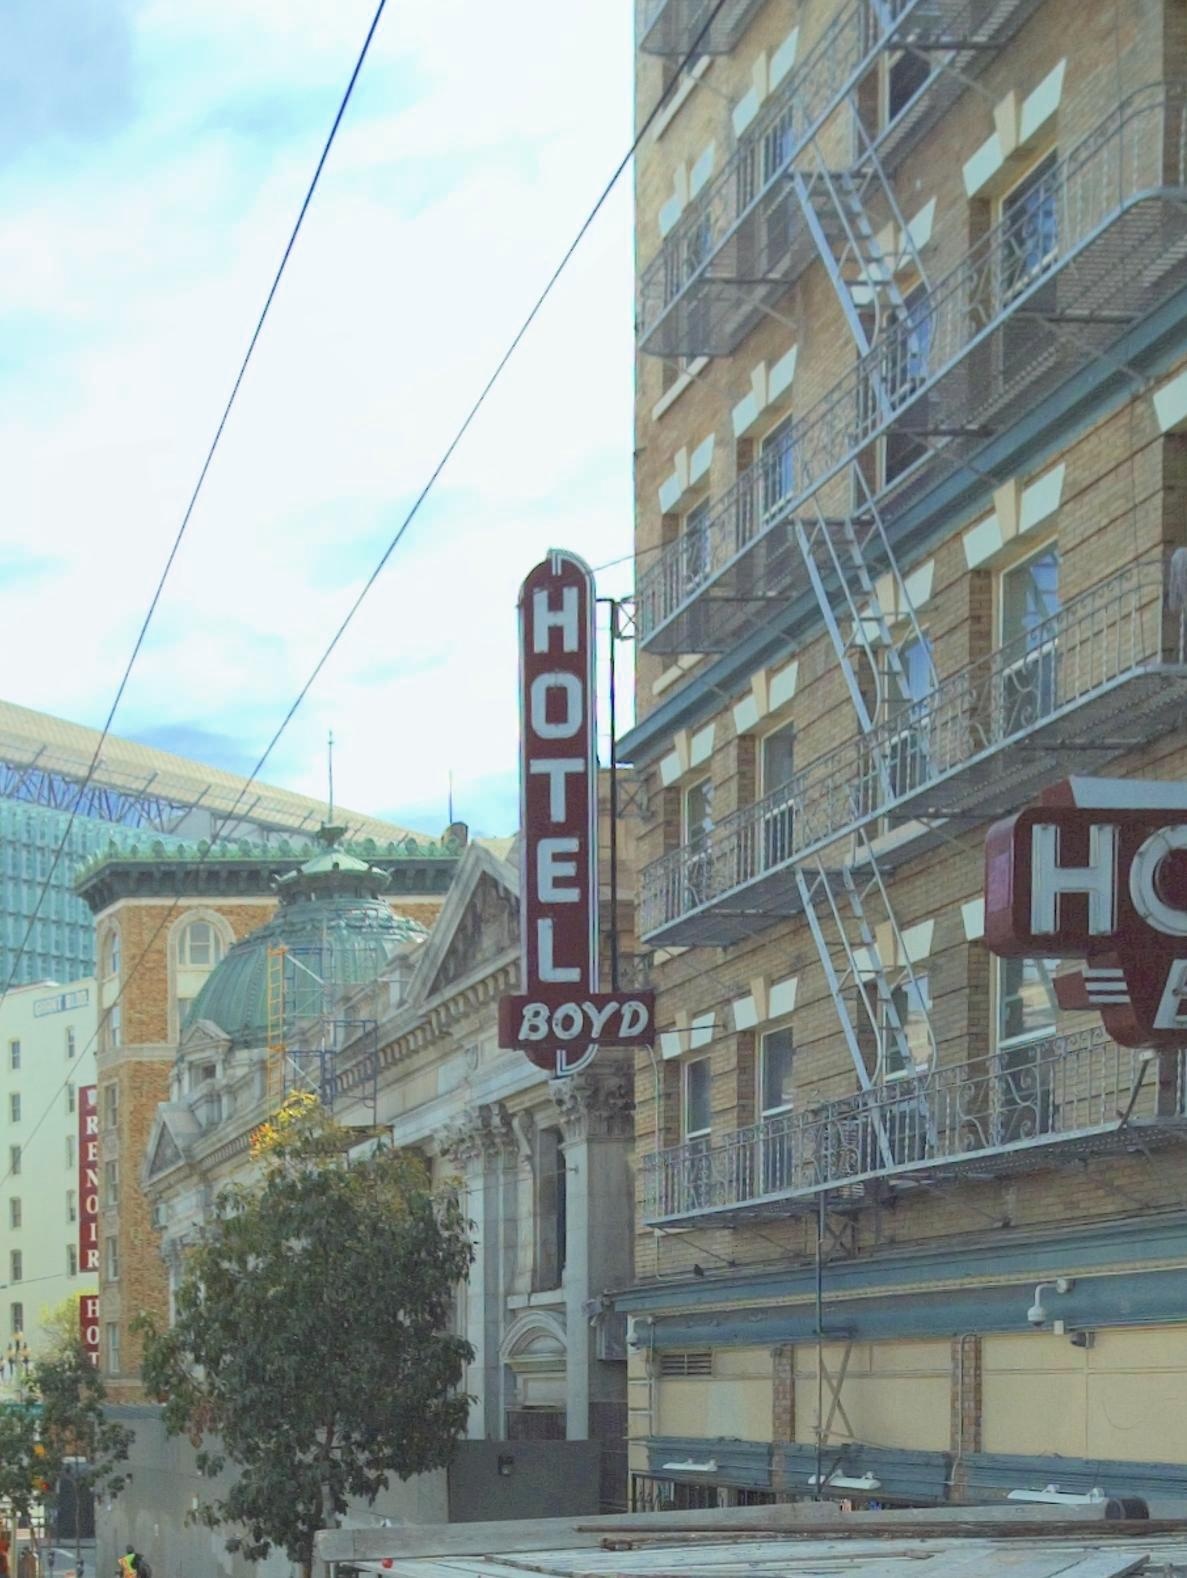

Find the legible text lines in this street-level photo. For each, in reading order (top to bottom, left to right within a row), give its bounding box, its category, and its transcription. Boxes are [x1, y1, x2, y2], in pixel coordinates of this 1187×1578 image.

[526, 581, 587, 988] BusinessName: HOTLE
[1027, 818, 1122, 938] BusinessName: H
[514, 997, 653, 1044] BusinessName: BOYD
[84, 1112, 102, 1271] BusinessName: RE*OIR
[83, 1294, 103, 1368] BusinessName: HOT